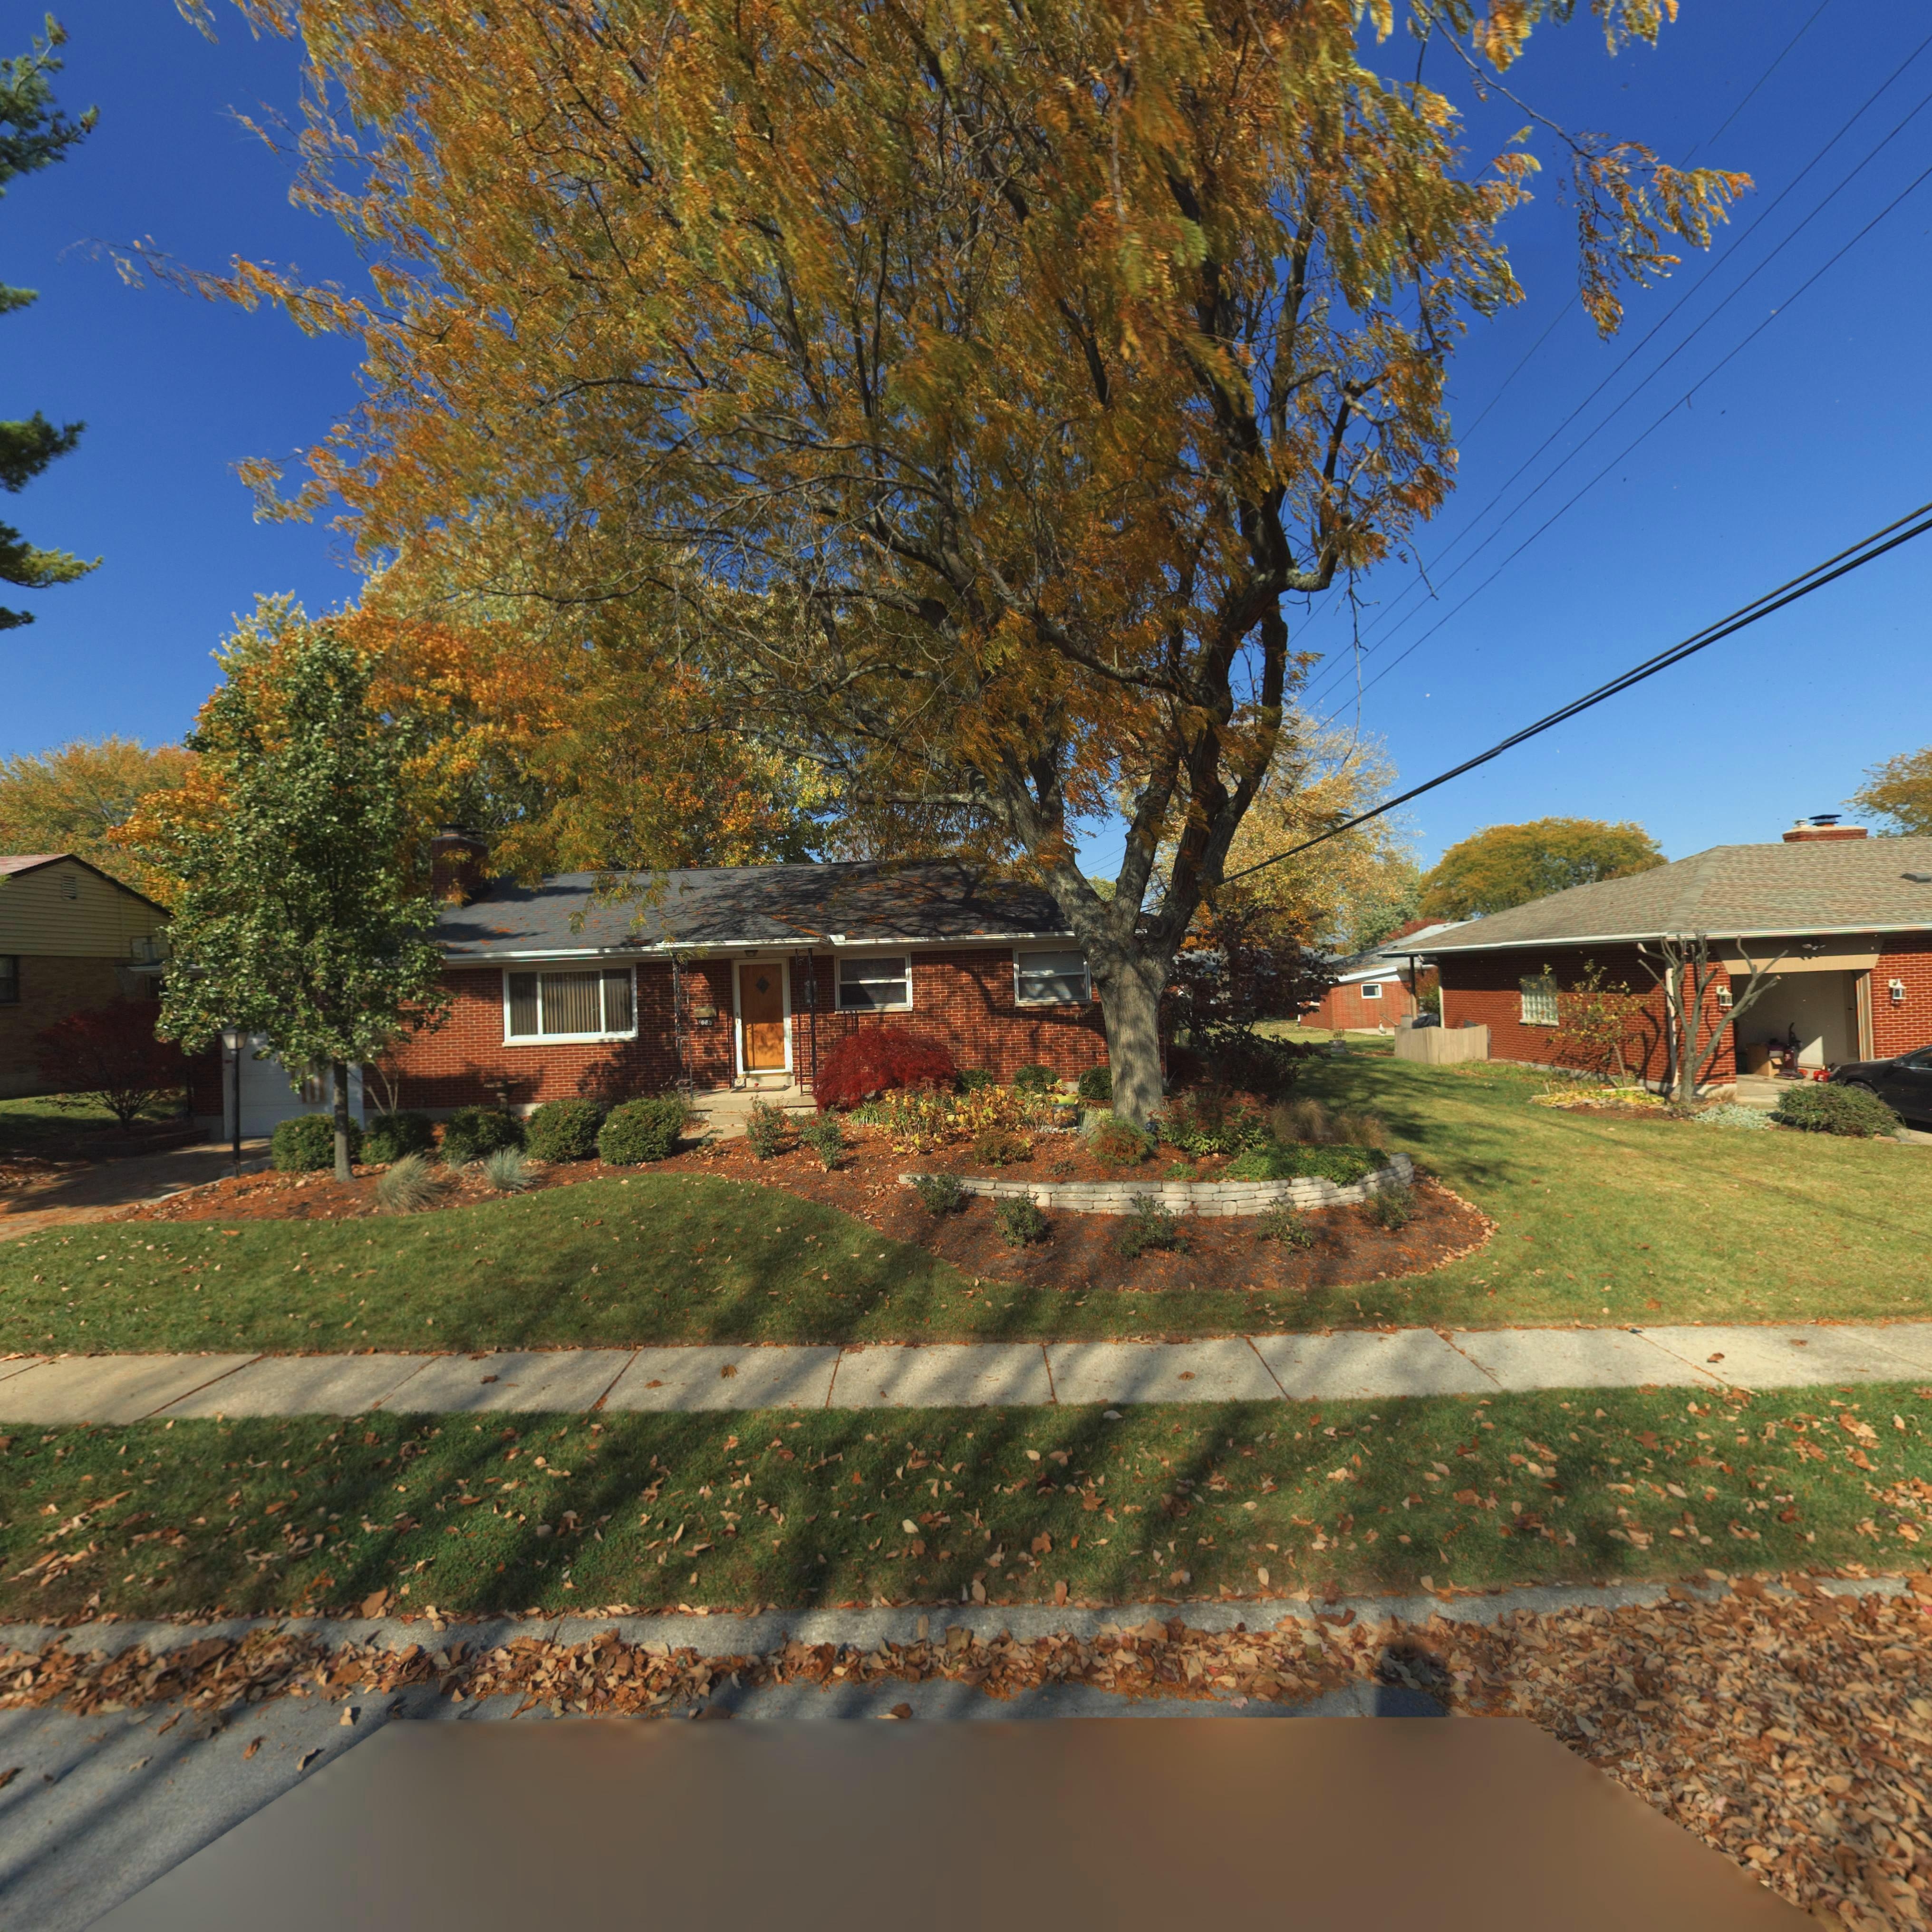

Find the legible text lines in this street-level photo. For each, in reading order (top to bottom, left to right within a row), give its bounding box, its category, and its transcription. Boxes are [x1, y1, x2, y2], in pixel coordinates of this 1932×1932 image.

[698, 1020, 712, 1026] StreetNumber: 1065